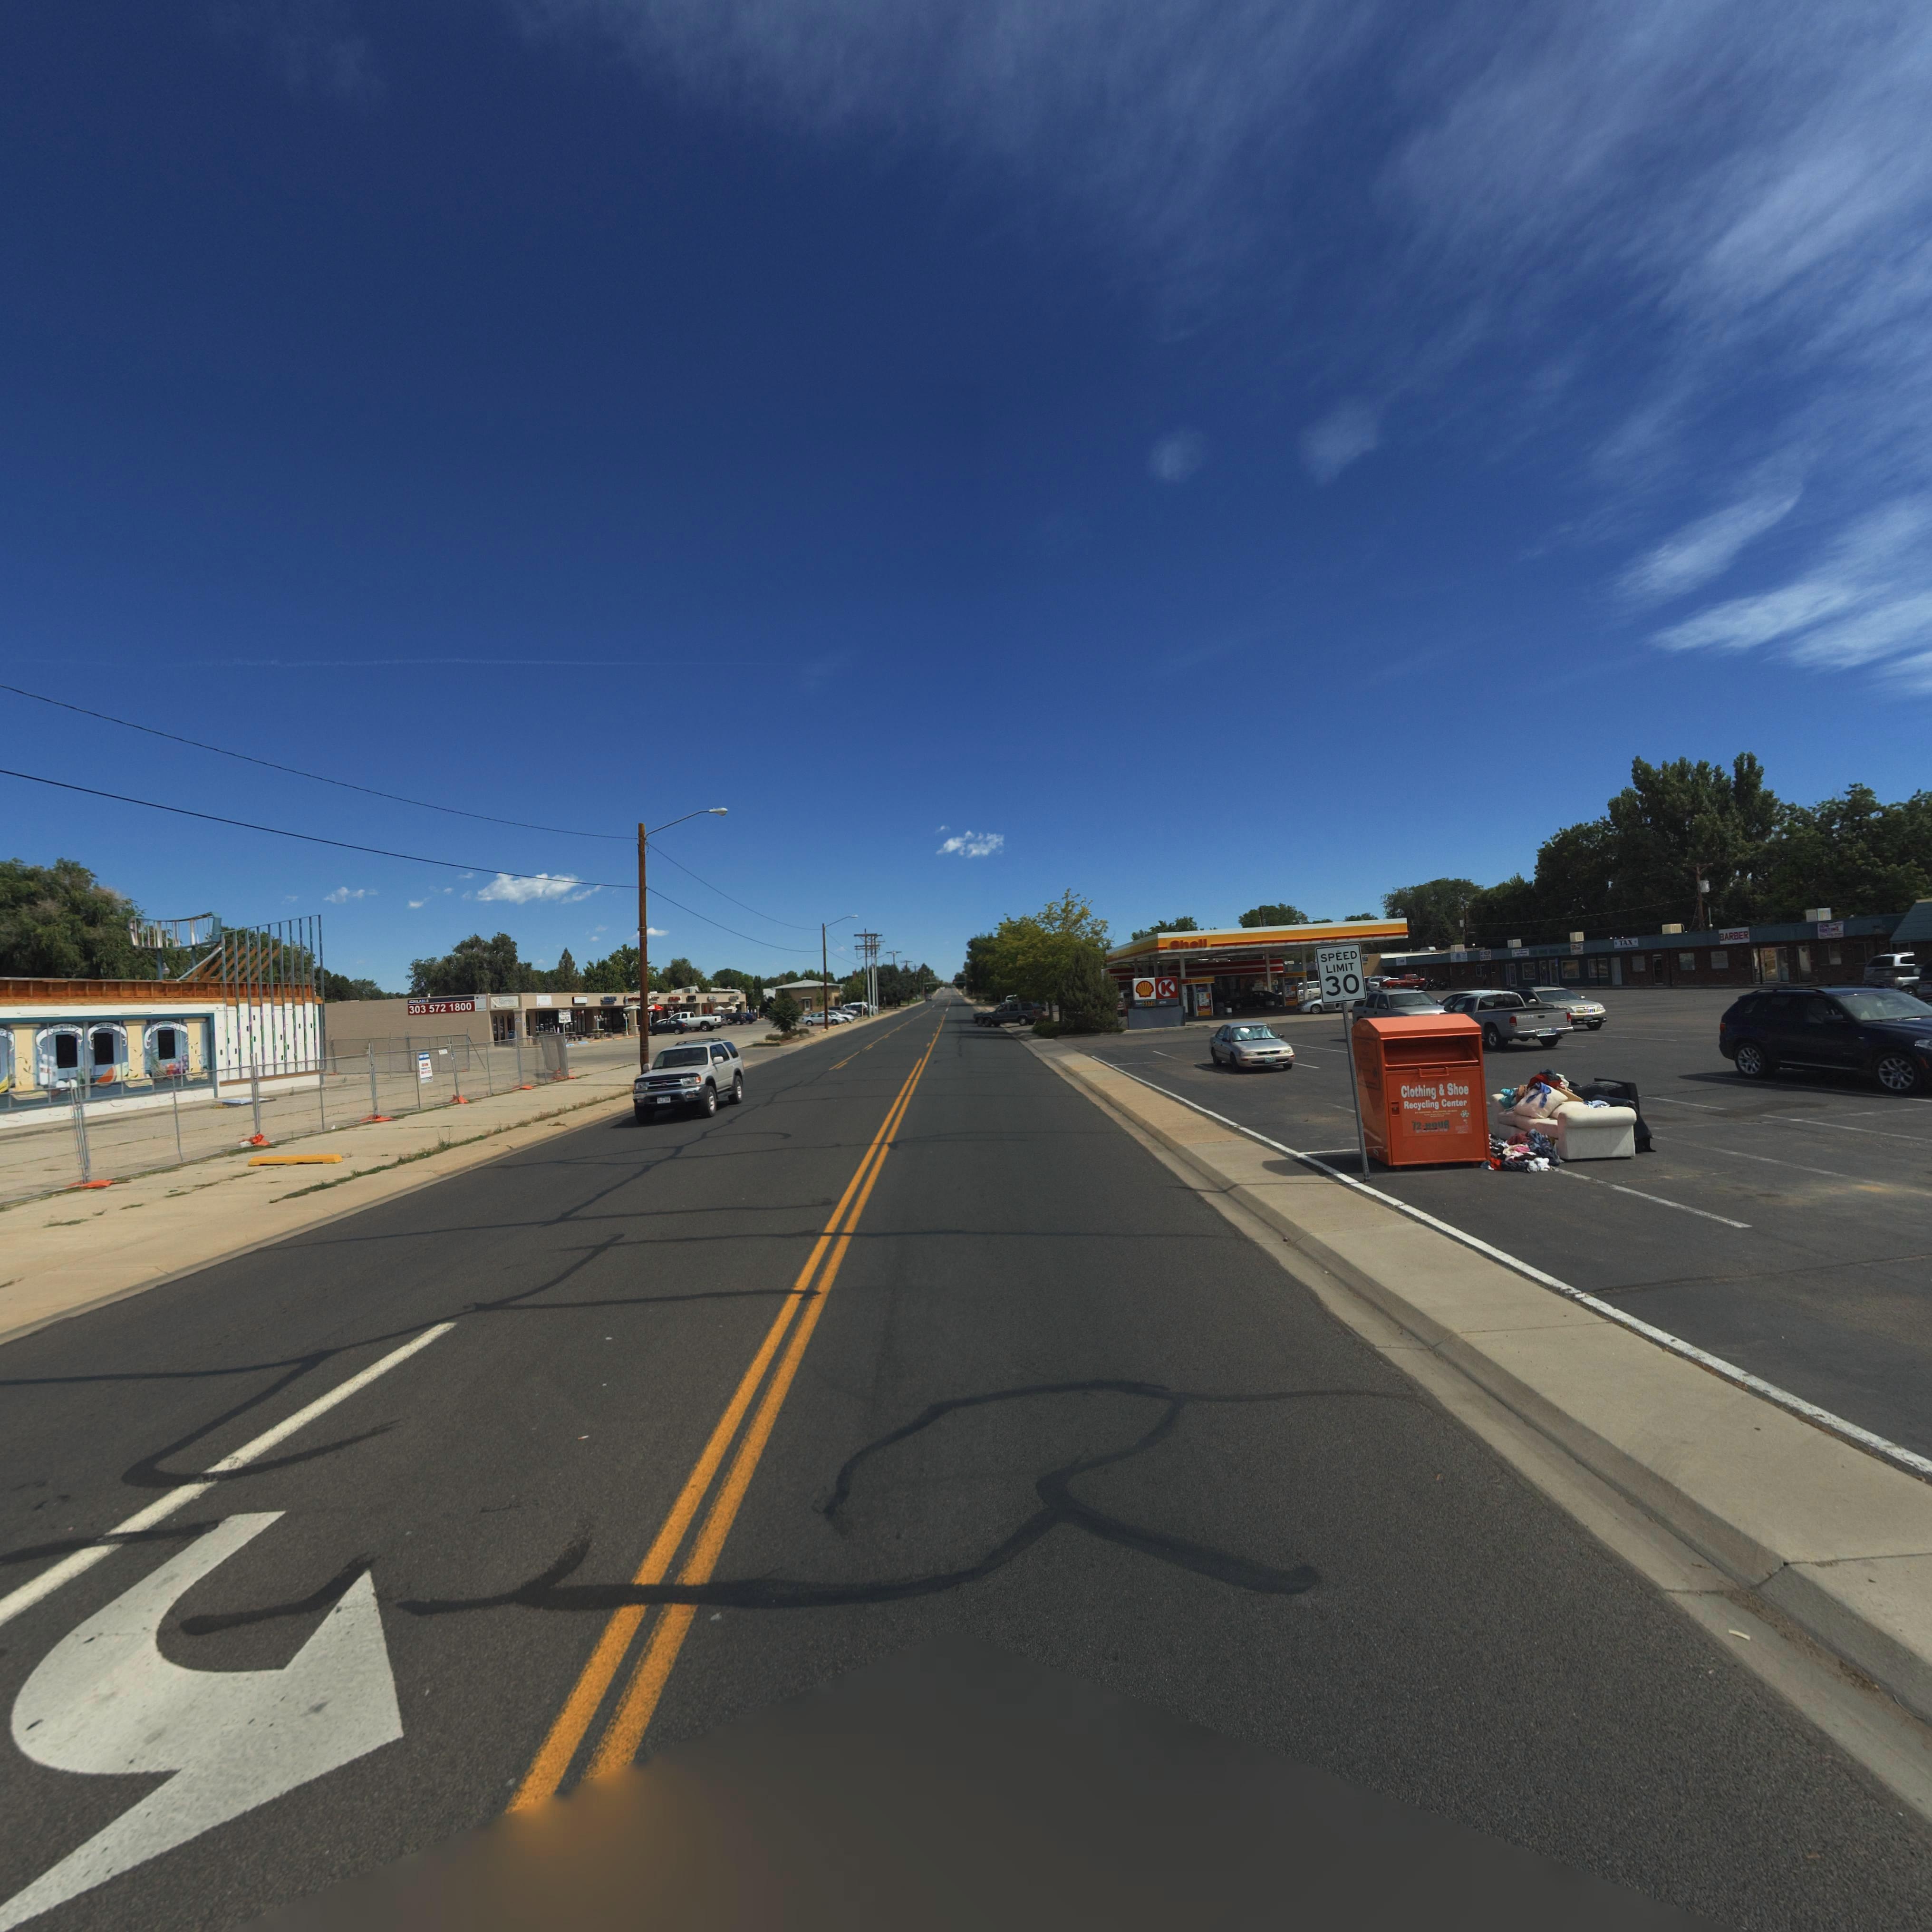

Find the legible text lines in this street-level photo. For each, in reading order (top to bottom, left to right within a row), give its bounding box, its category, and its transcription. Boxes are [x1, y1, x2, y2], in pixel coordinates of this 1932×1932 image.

[1169, 938, 1207, 950] BusinessName: Shell